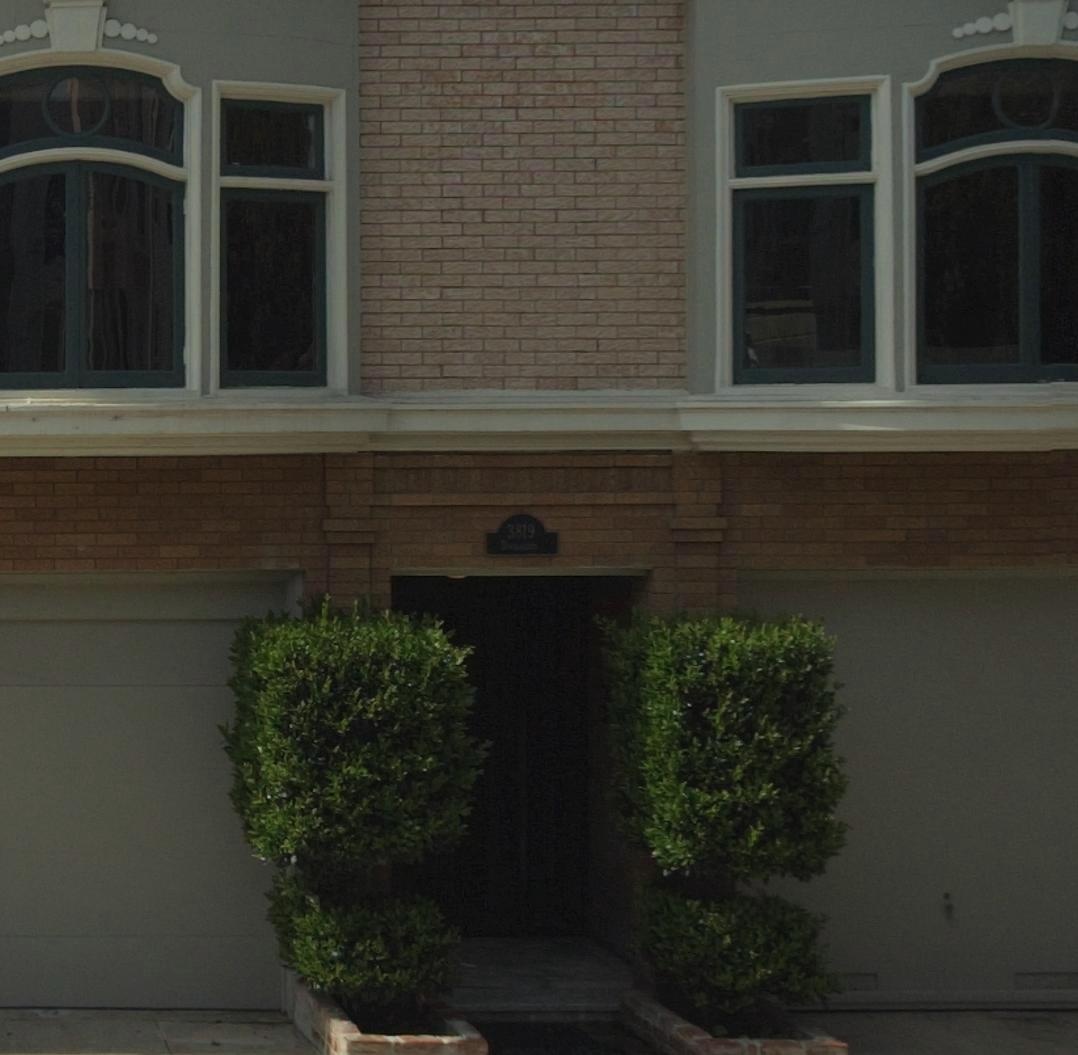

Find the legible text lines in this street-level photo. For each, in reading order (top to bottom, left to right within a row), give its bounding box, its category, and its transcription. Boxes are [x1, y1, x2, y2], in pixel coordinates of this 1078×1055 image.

[504, 521, 538, 542] StreetNumber: 3819